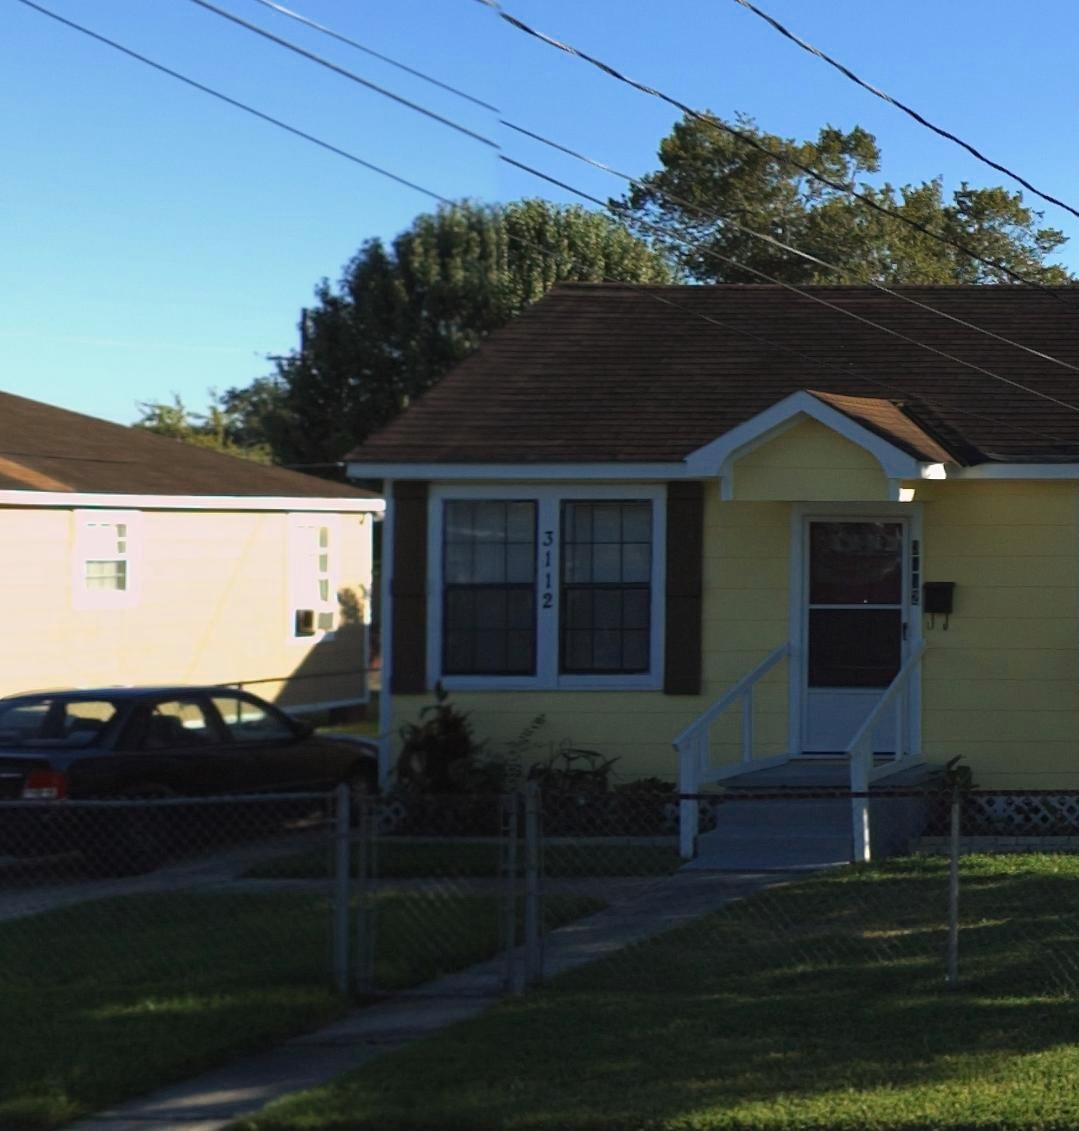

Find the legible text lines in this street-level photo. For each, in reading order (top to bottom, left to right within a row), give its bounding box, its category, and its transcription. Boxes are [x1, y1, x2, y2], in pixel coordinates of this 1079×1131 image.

[539, 528, 556, 612] StreetNumber: 3112
[910, 590, 920, 605] StreetNumber: 2